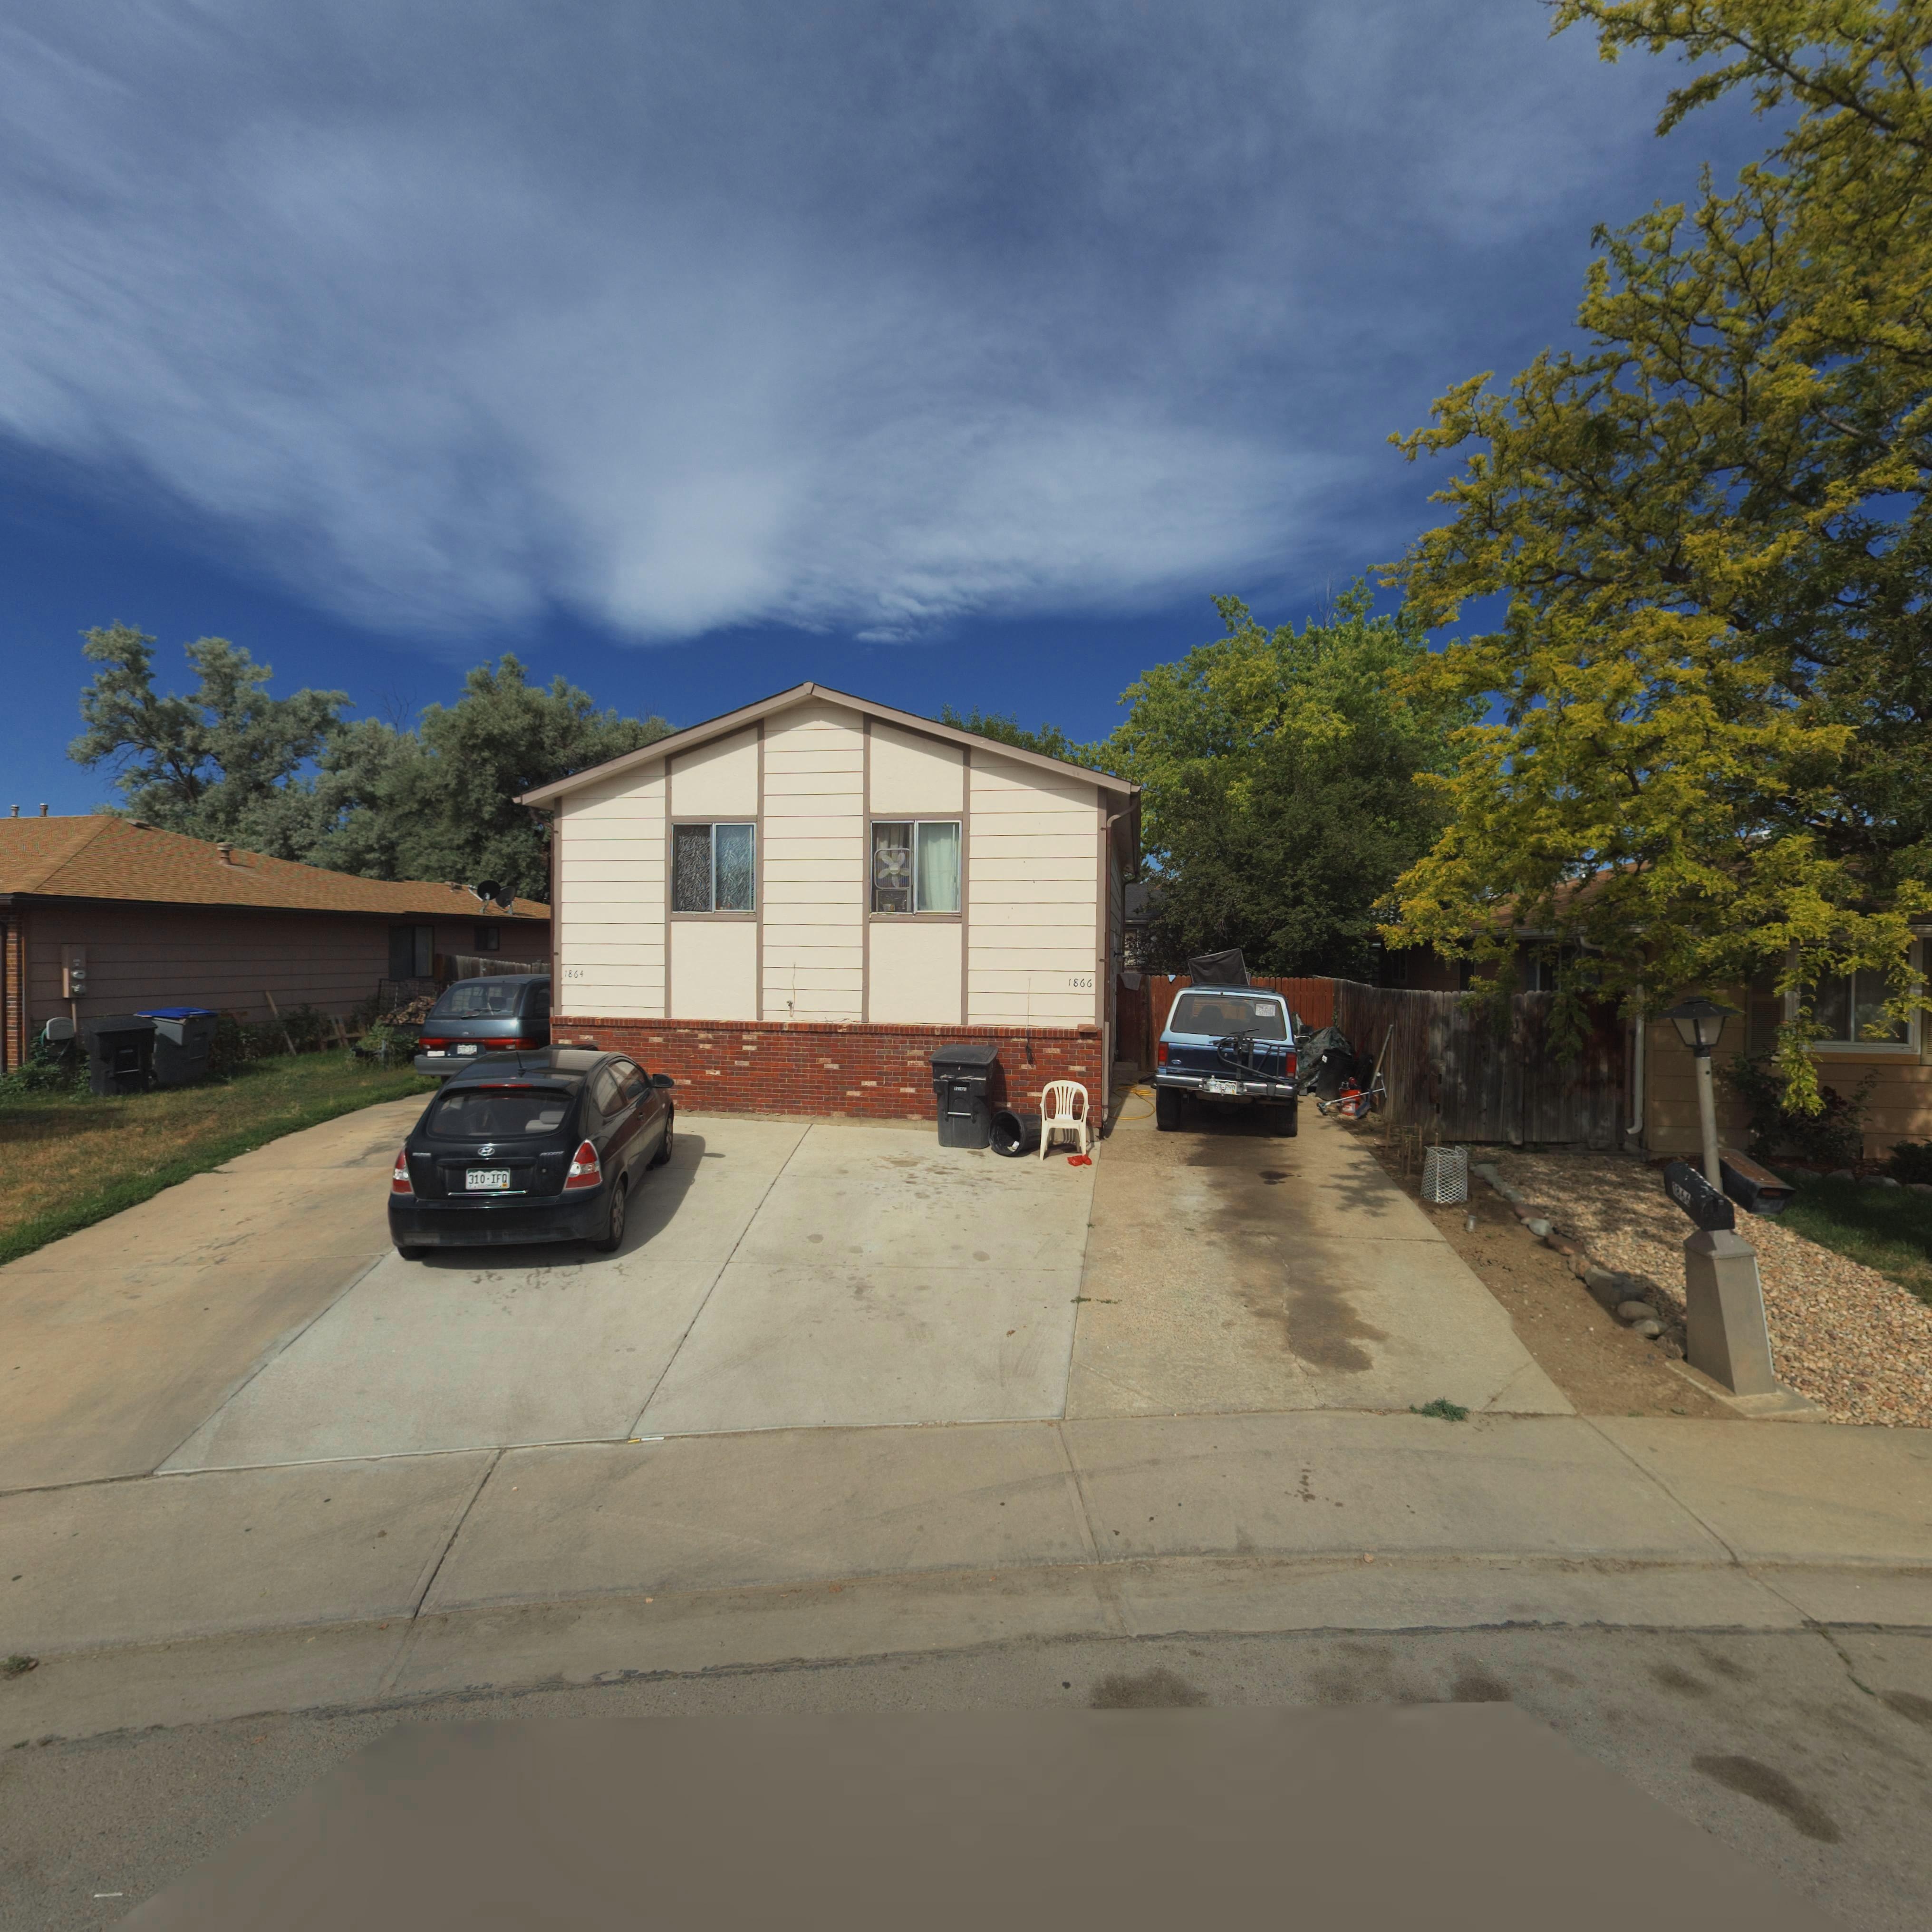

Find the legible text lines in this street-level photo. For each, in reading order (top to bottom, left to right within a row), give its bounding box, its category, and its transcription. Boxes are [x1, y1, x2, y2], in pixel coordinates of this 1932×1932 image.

[564, 969, 583, 978] StreetNumber: 1864
[1068, 978, 1092, 988] StreetNumber: 1866
[1672, 1182, 1691, 1206] StreetNumber: 1866